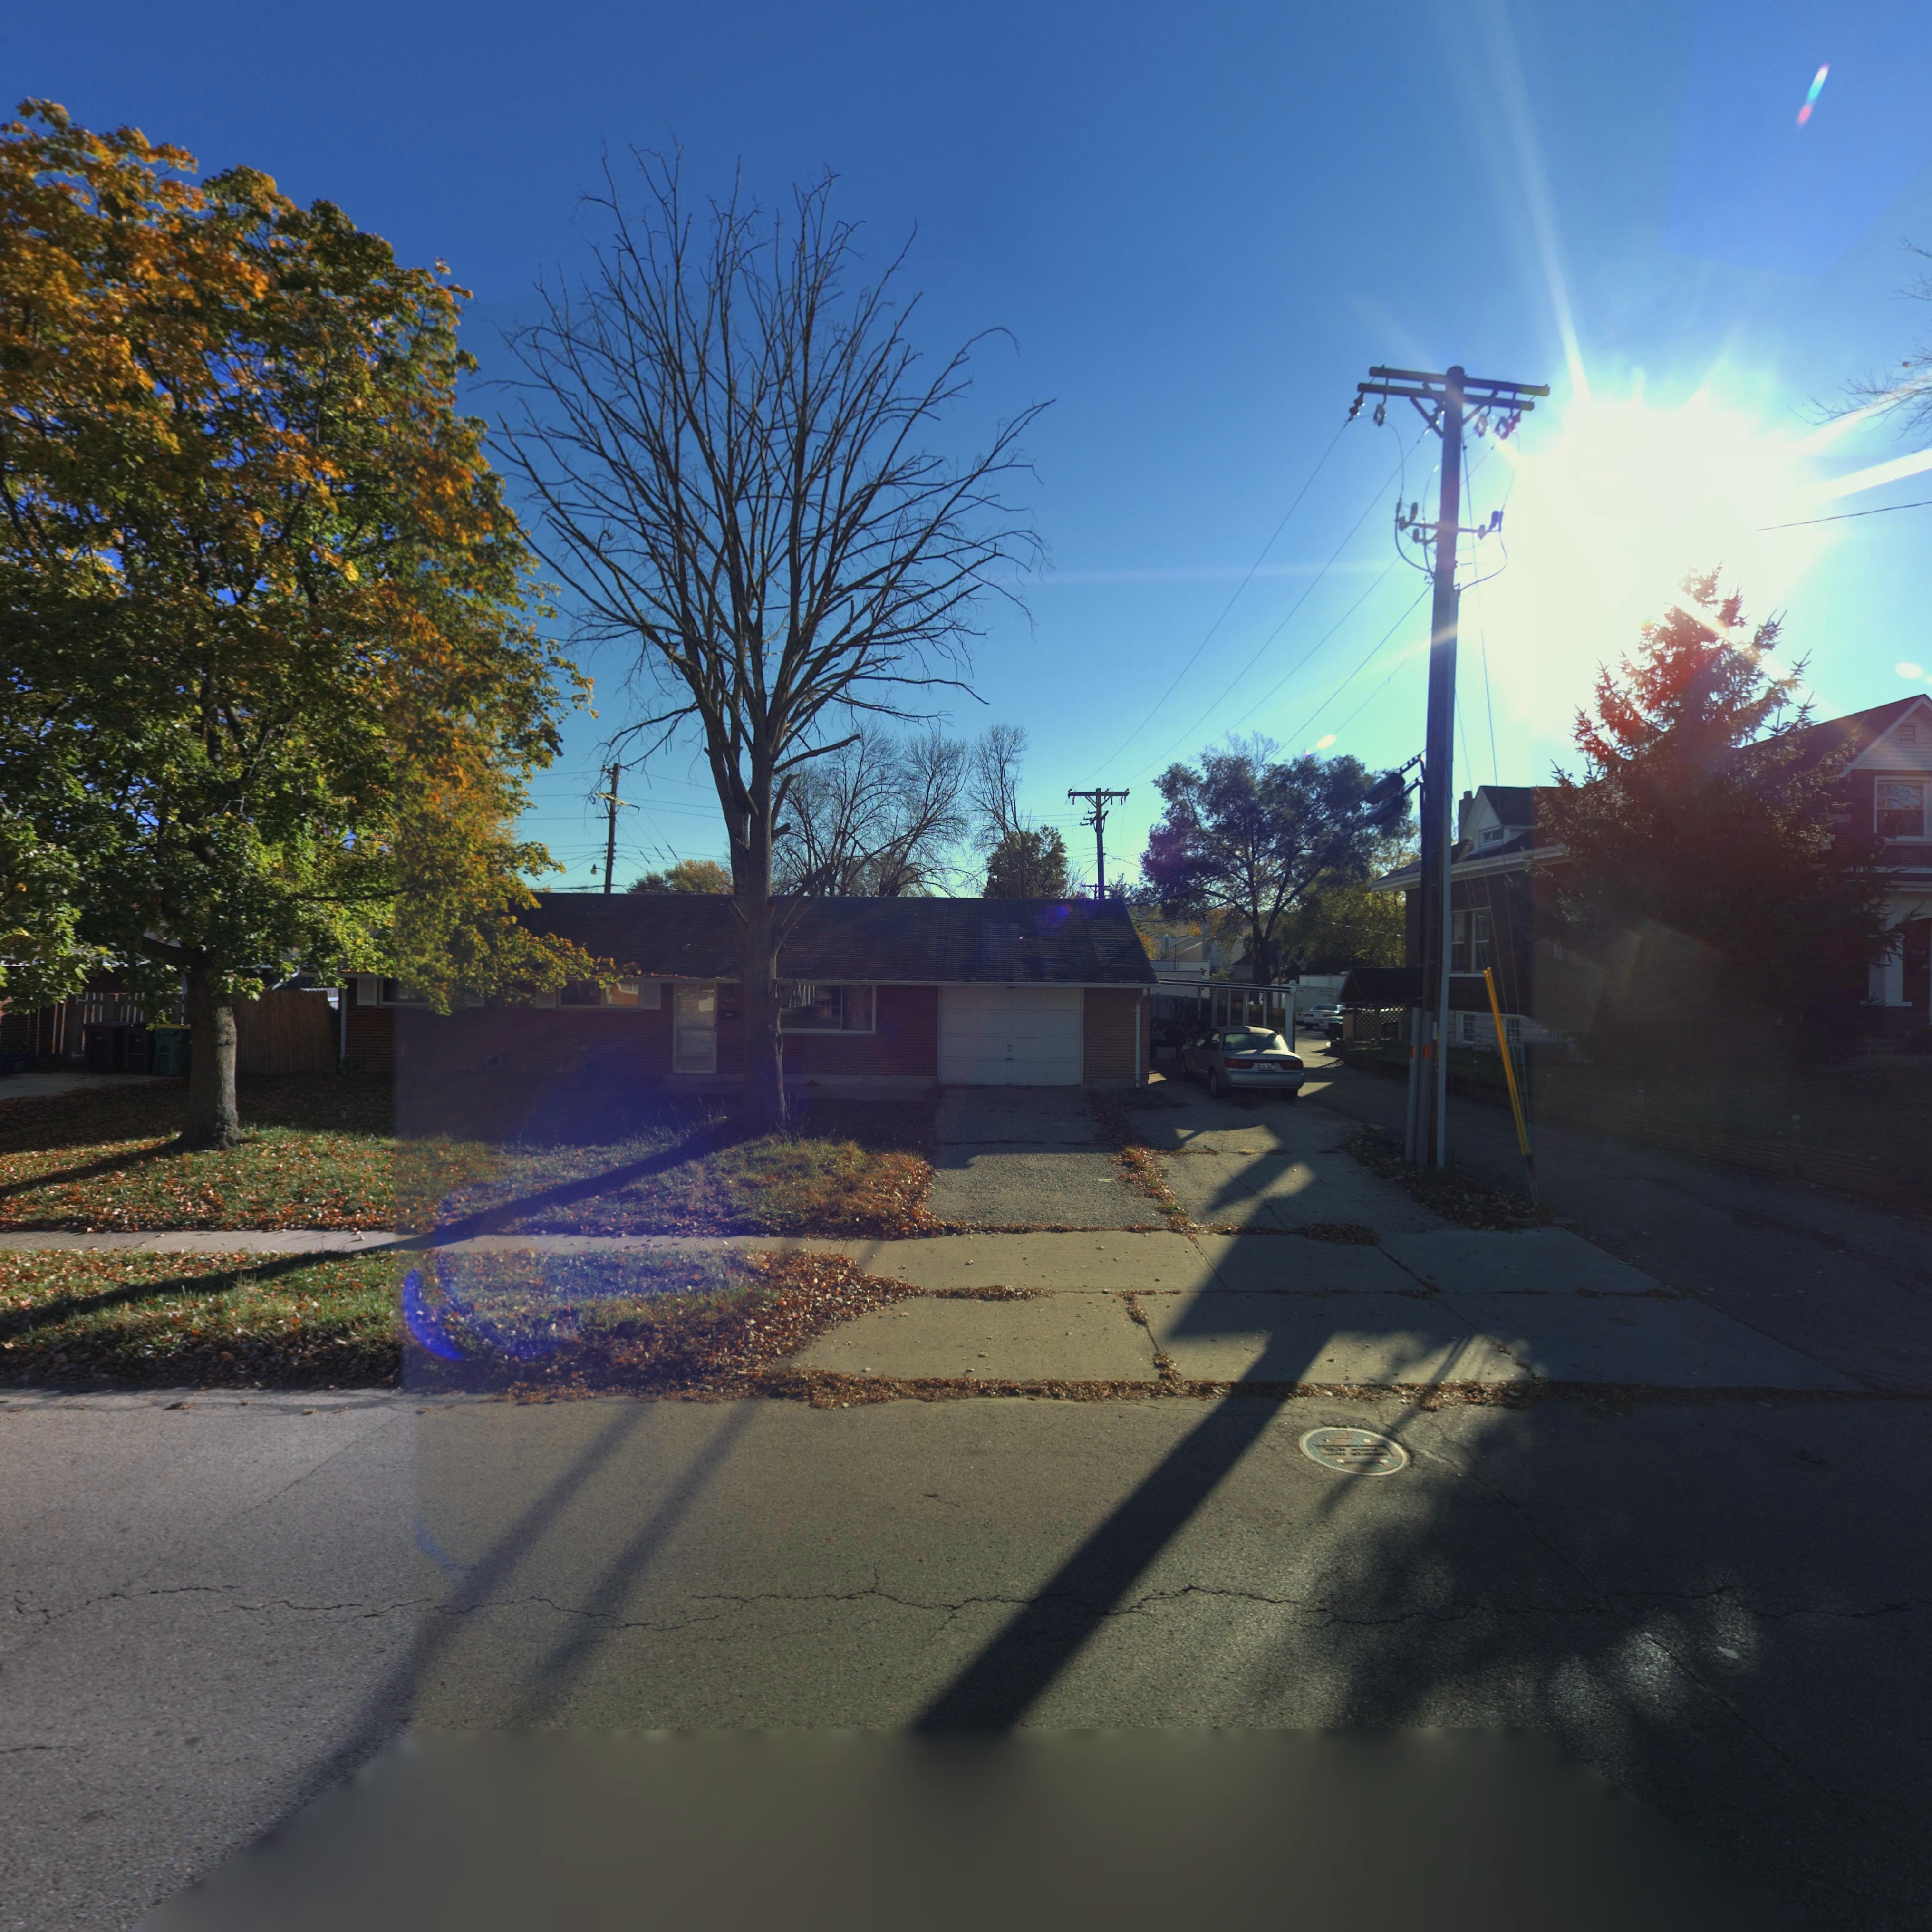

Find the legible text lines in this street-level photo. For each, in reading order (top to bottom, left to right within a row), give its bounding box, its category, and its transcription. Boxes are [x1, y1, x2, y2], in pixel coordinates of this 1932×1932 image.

[724, 997, 737, 1003] StreetNumber: 4982